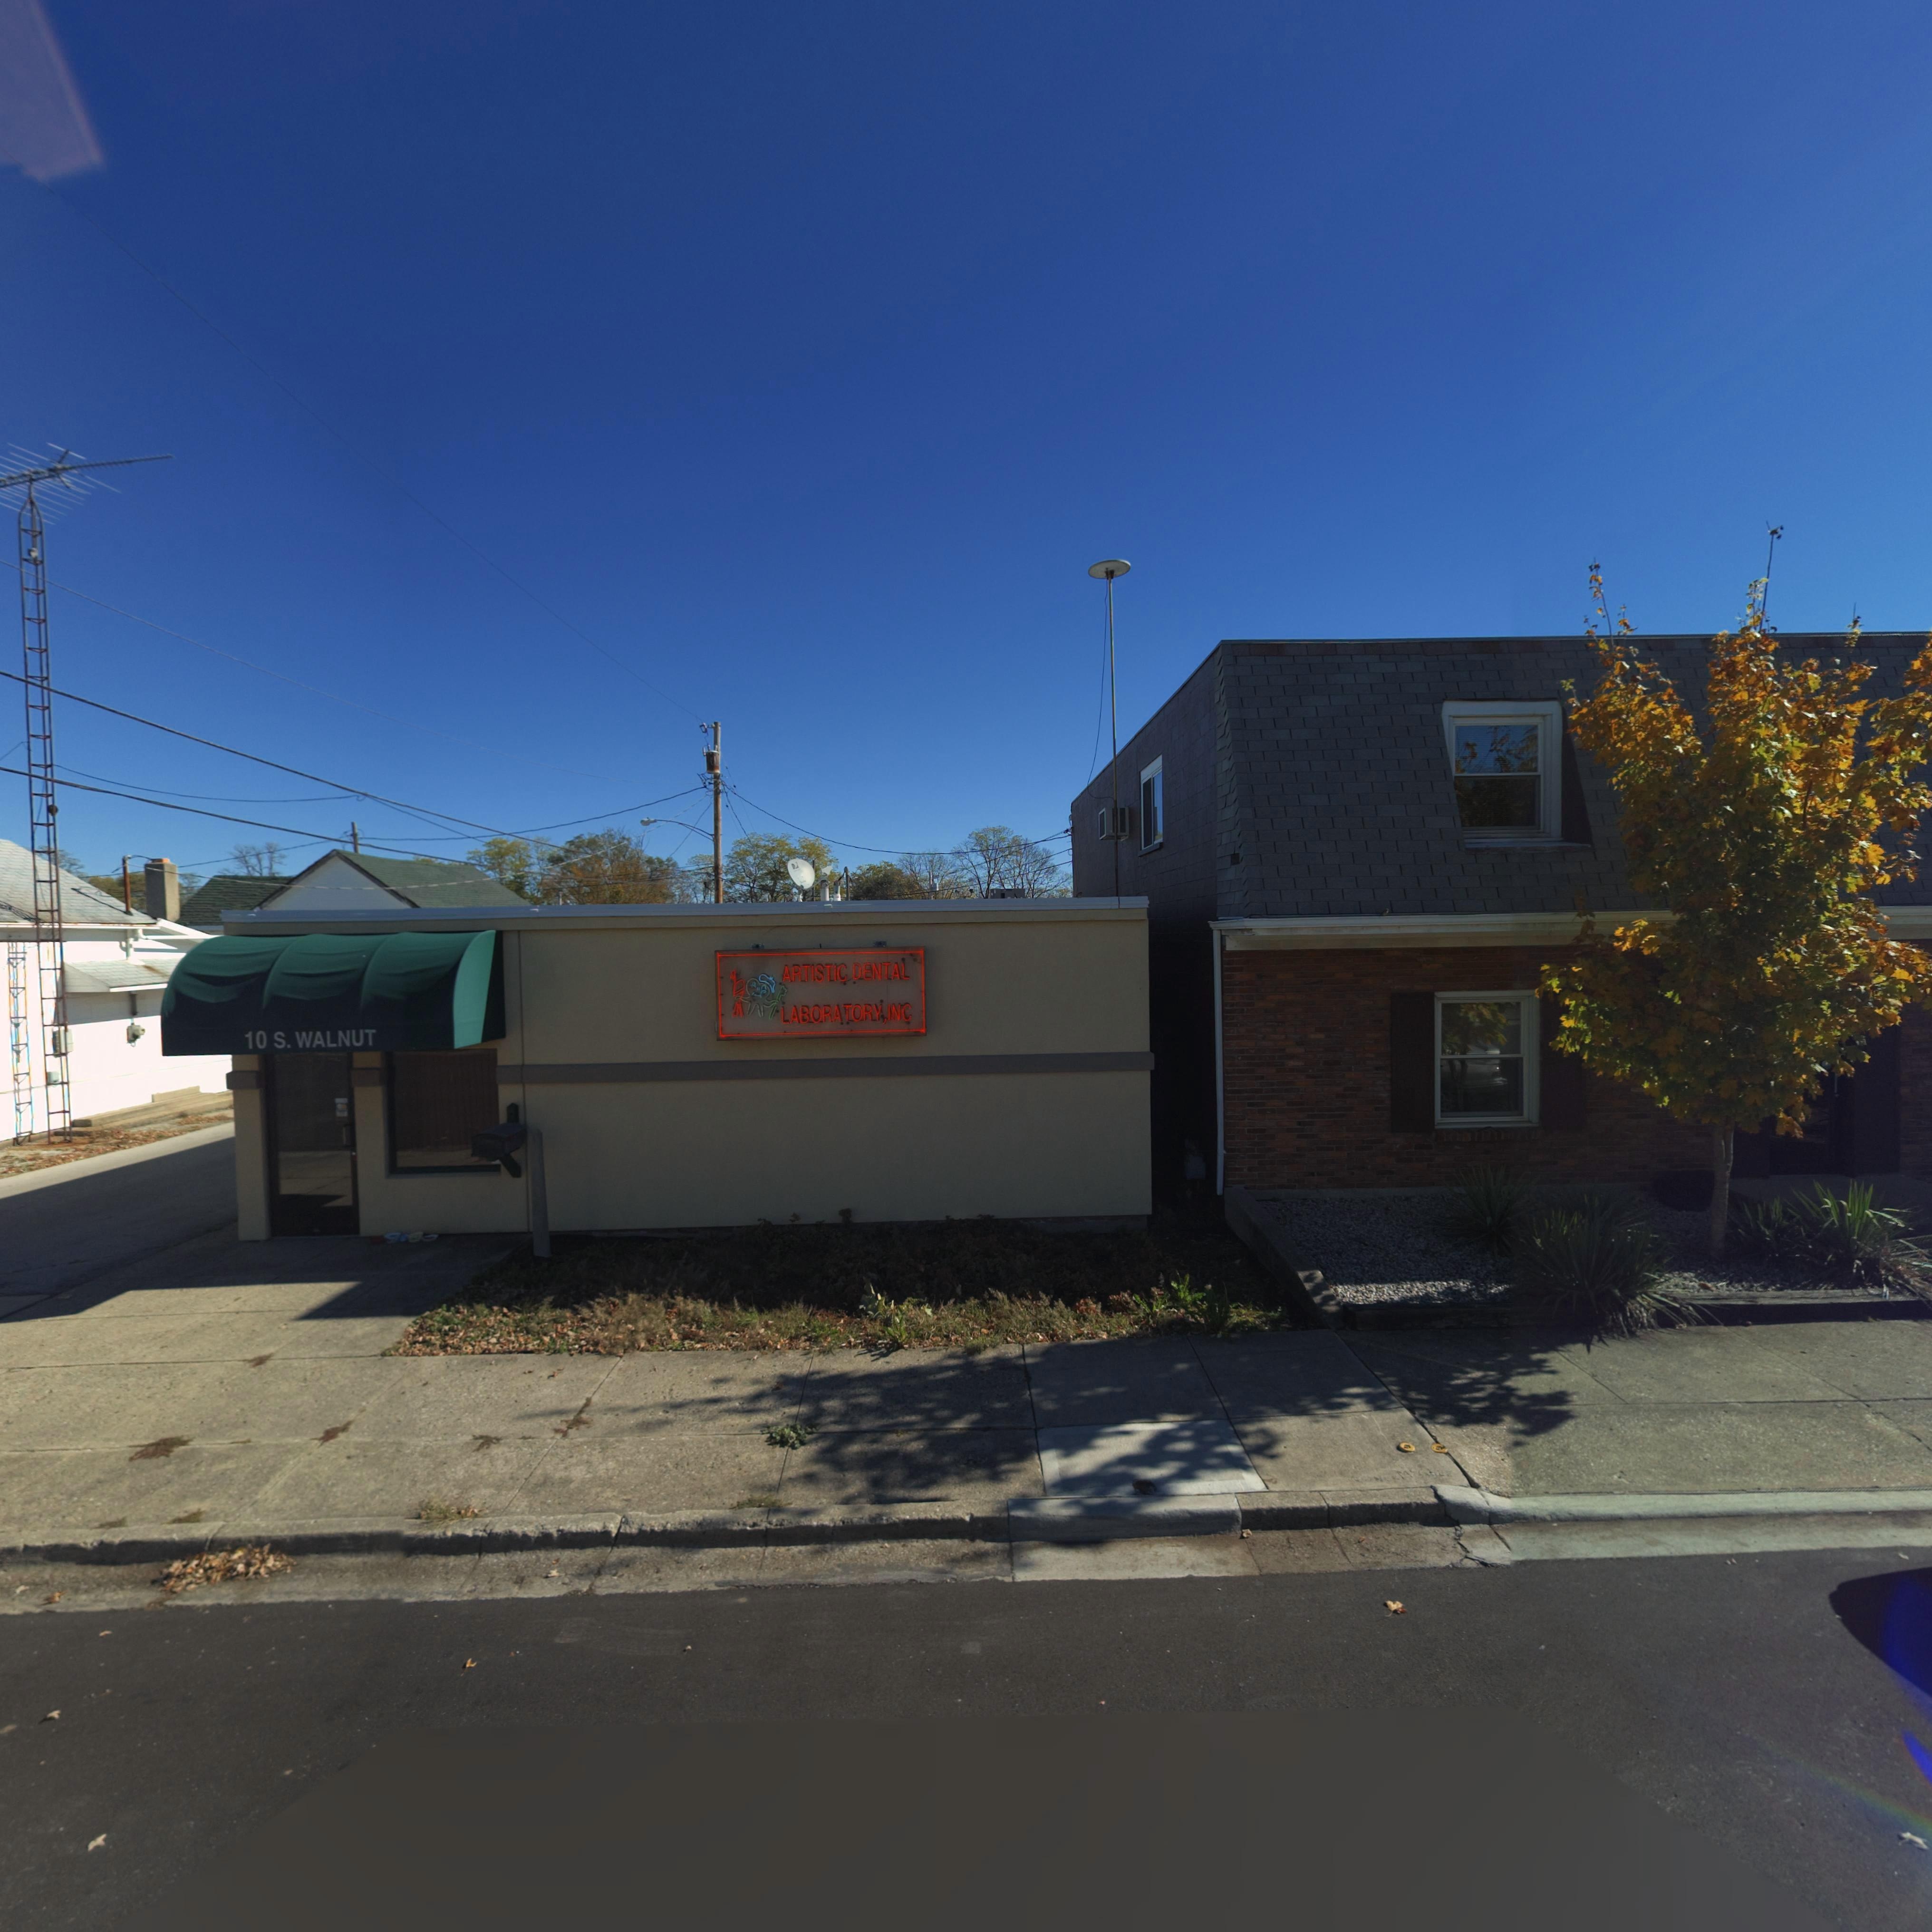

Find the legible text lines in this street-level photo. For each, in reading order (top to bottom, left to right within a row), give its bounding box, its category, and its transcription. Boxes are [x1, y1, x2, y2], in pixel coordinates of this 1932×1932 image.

[780, 961, 912, 984] BusinessName: ARTISTIC DENTAL
[779, 1002, 913, 1026] BusinessName: LABORATOR, INC
[243, 1030, 267, 1050] StreetNumber: 10
[272, 1028, 378, 1050] StreetName: S. WALNUT